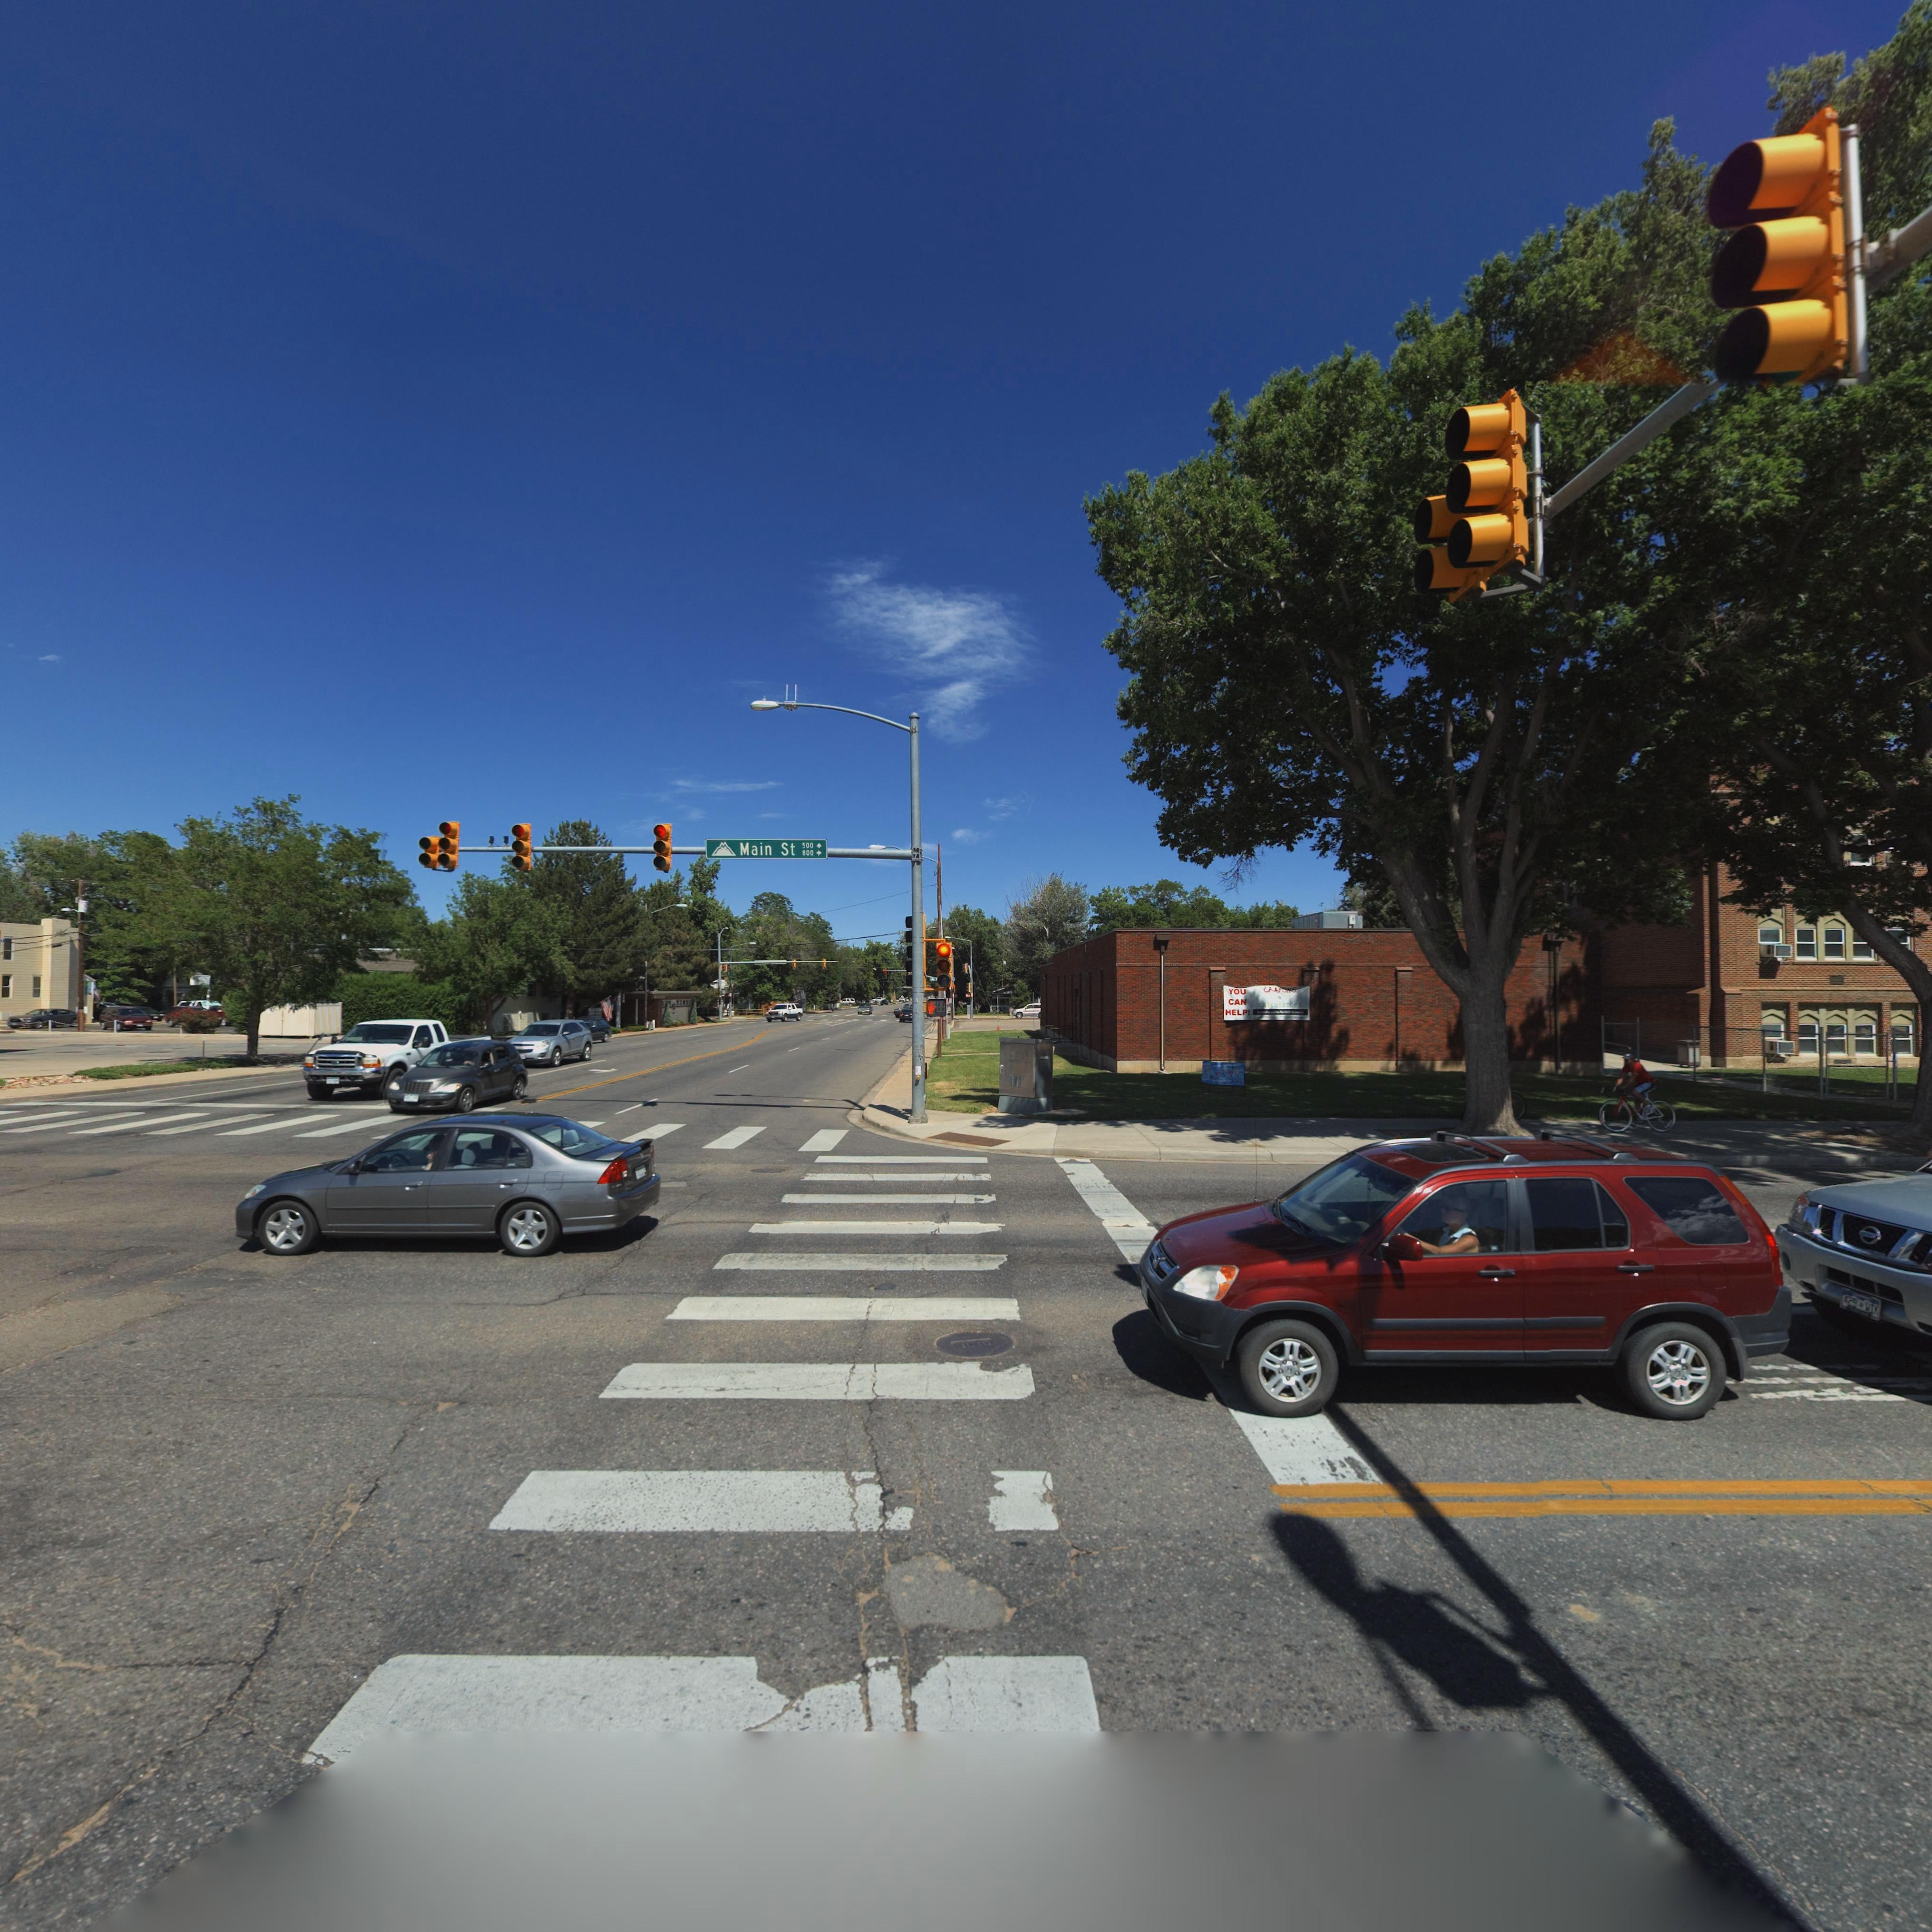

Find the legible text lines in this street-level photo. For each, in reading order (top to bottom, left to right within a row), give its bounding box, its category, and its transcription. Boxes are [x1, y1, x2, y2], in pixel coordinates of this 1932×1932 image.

[802, 842, 814, 849] StreetNumberRange: 500
[739, 841, 796, 856] StreetName: Main St
[802, 850, 822, 856] StreetNumberRange: 800->